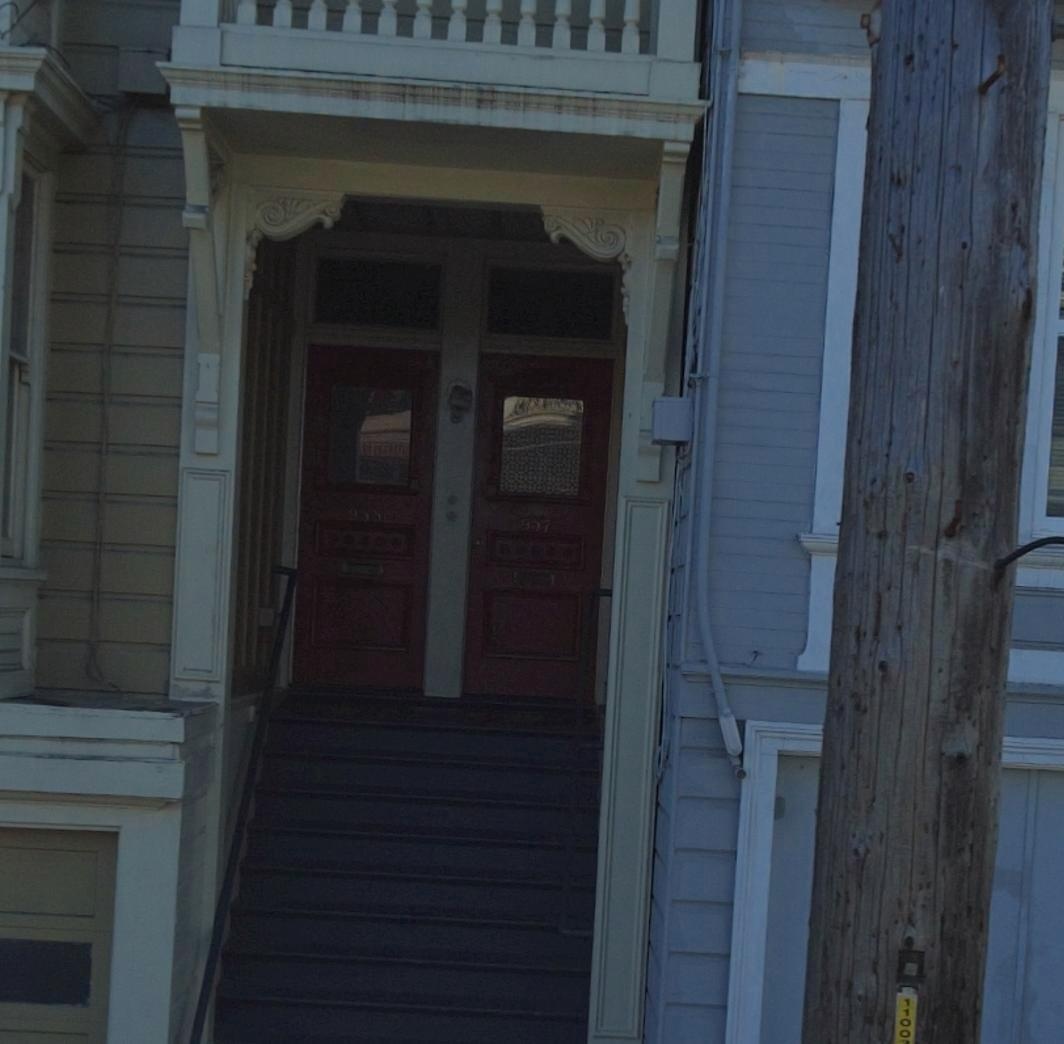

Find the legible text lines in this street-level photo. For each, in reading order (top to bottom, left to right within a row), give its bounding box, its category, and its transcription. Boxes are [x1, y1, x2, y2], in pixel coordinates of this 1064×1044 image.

[347, 505, 383, 524] StreetNumber: 955
[517, 517, 554, 533] StreetNumber: 957
[897, 992, 916, 1042] None: 1100